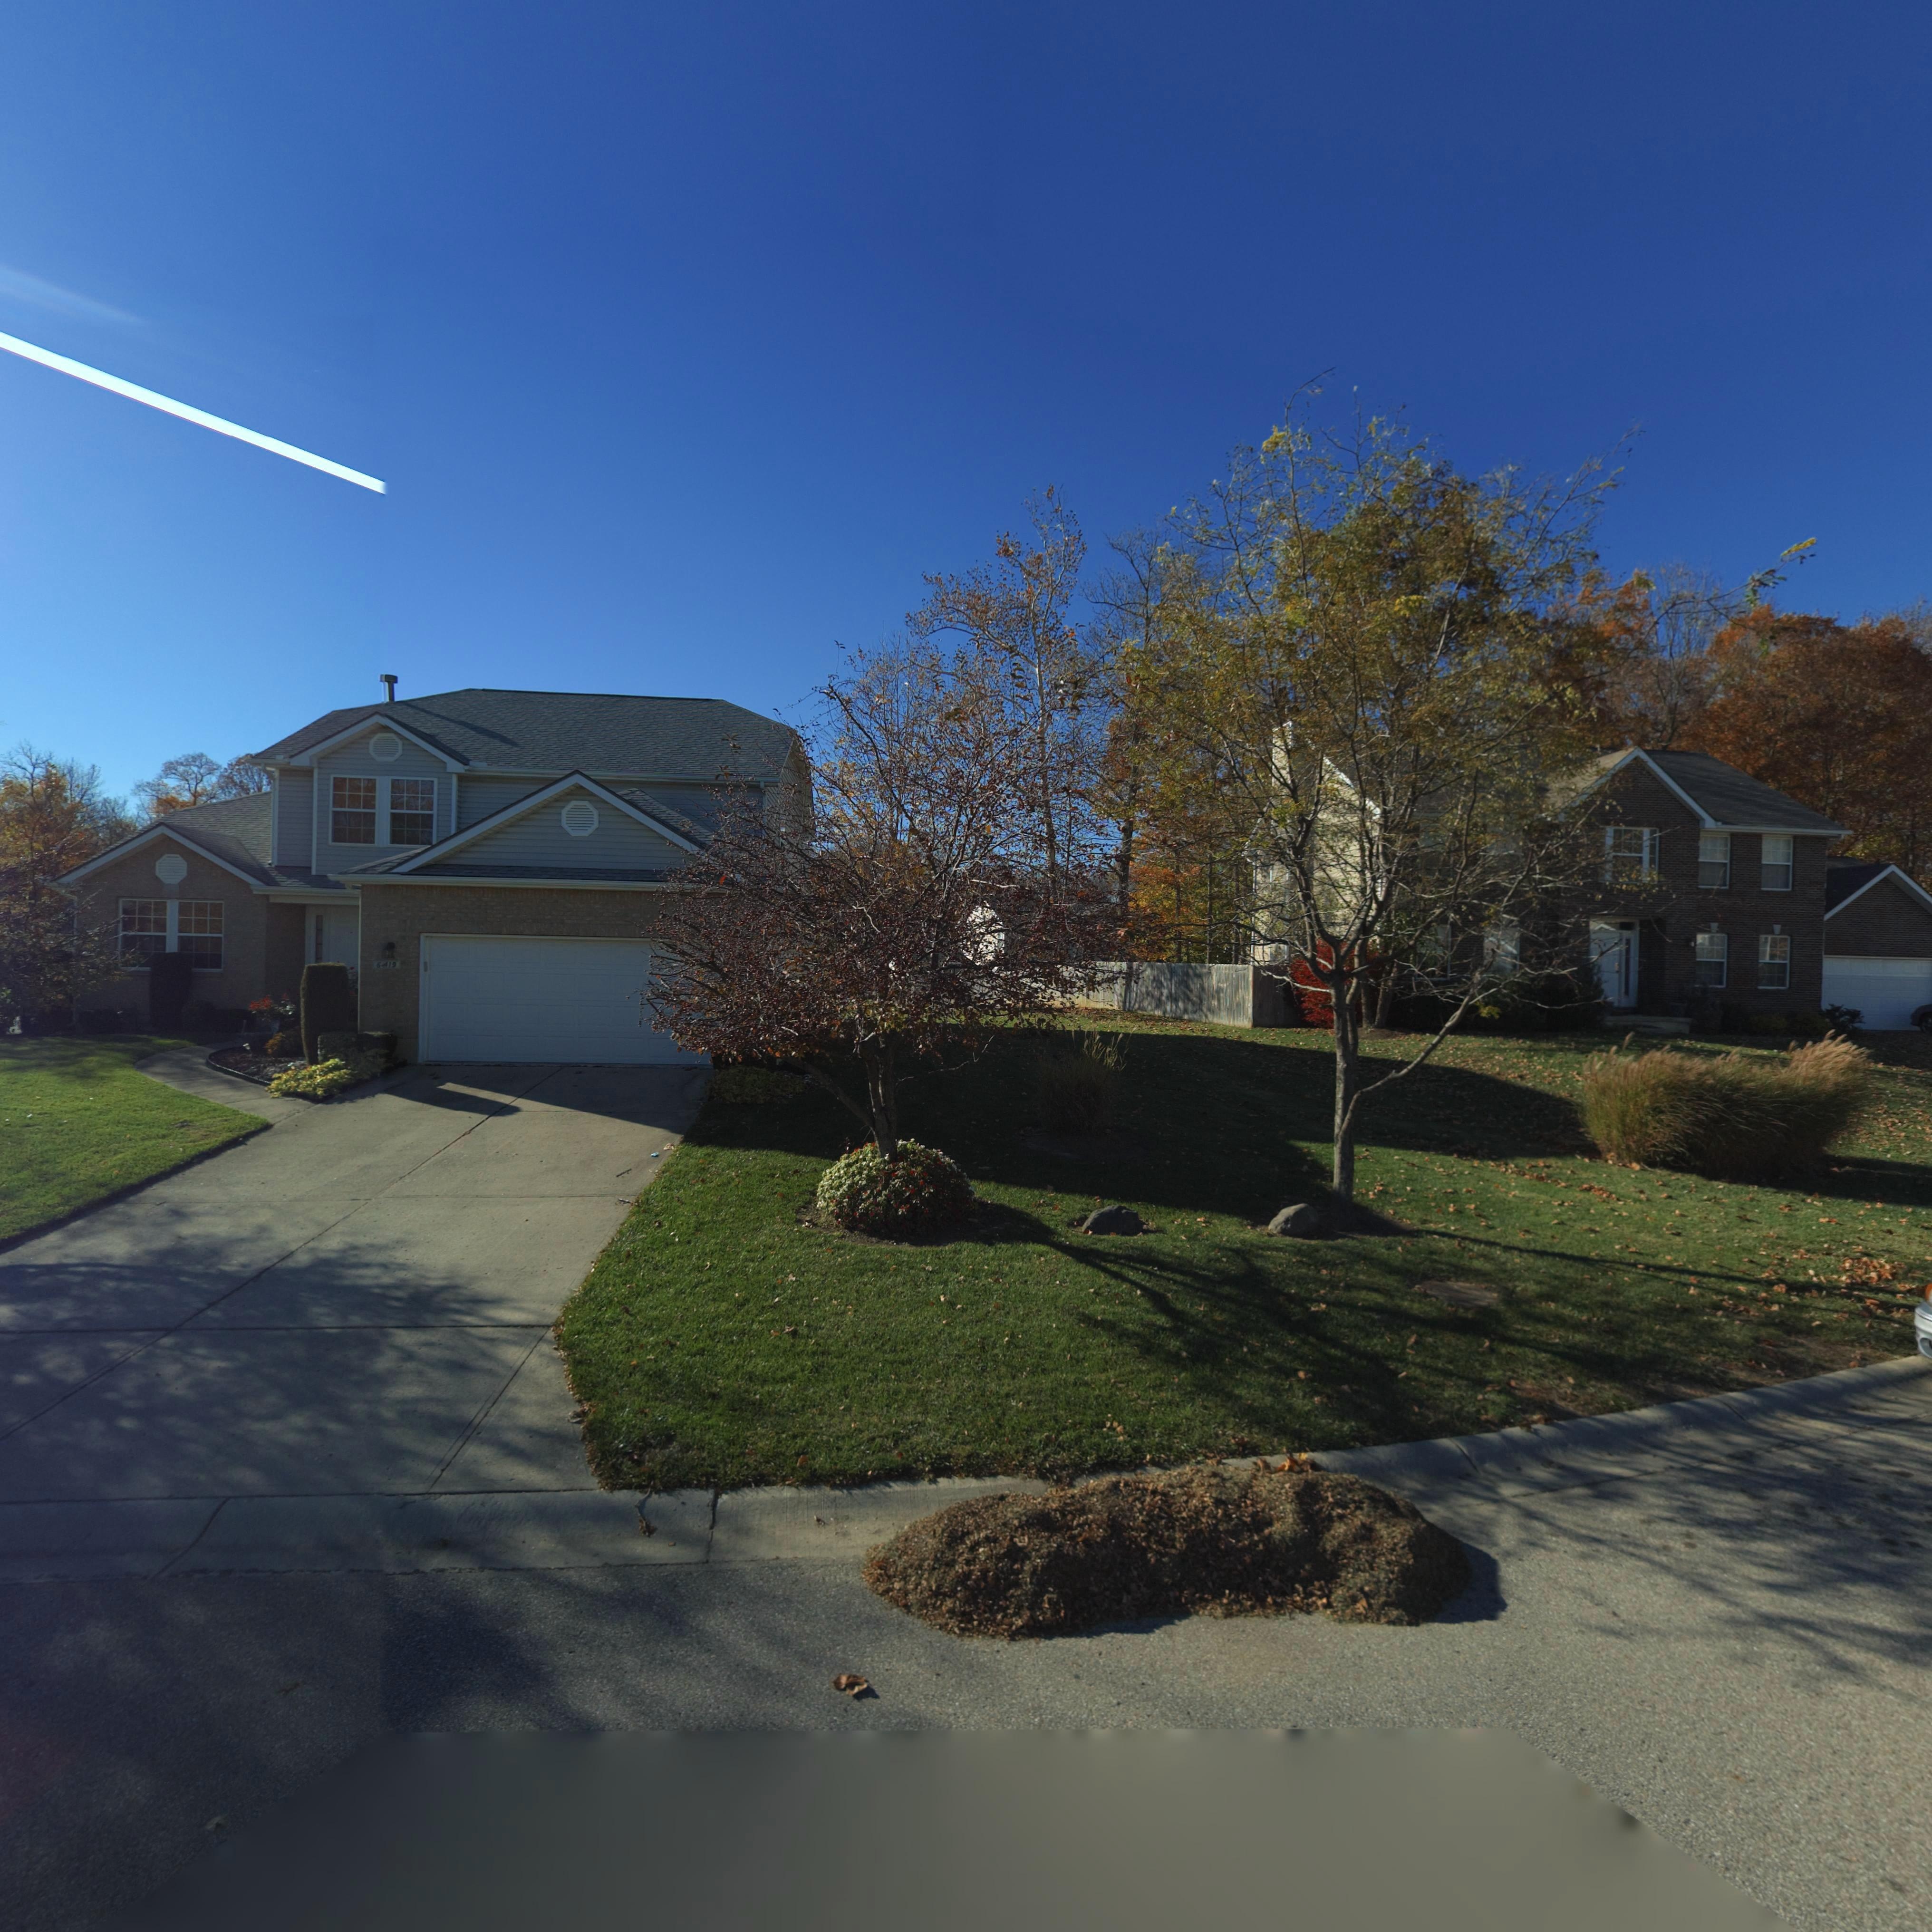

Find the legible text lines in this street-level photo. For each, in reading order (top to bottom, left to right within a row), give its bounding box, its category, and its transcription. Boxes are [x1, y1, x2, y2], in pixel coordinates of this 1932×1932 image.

[375, 961, 397, 969] StreetNumber: 6*19